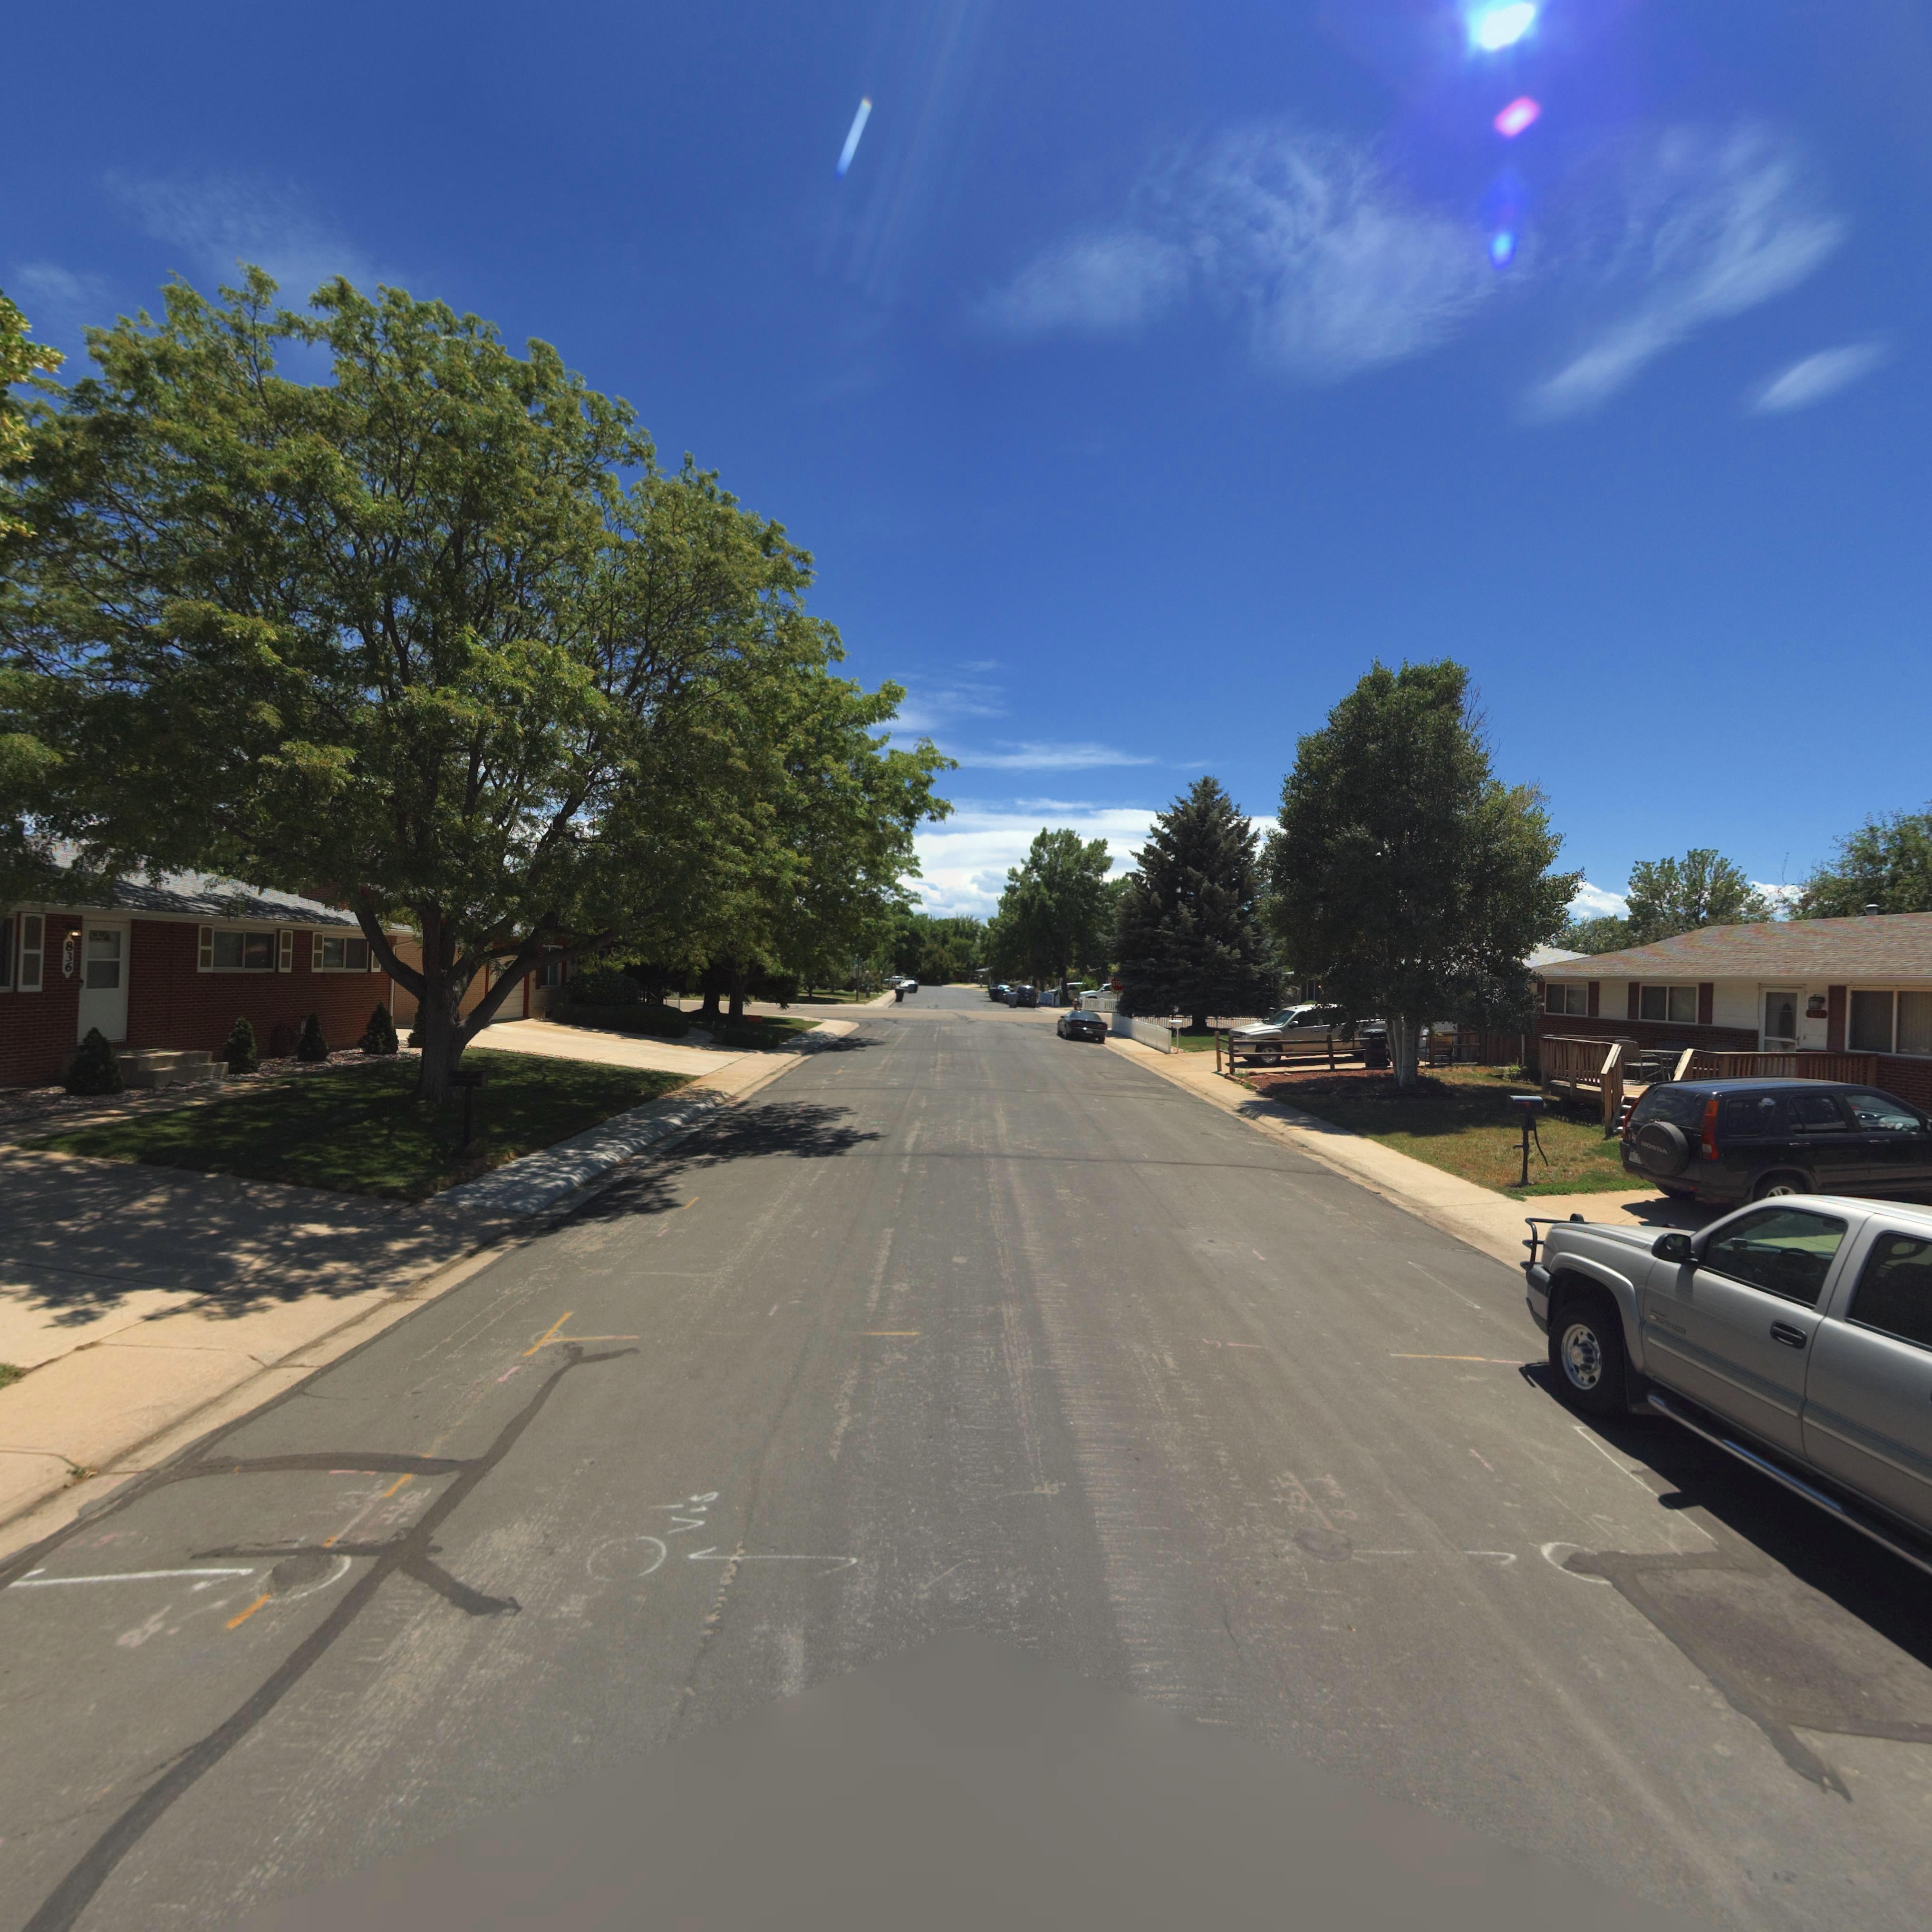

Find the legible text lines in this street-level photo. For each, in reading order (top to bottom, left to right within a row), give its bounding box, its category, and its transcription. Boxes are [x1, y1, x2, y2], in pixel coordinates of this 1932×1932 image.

[64, 940, 72, 972] StreetNumber: 836